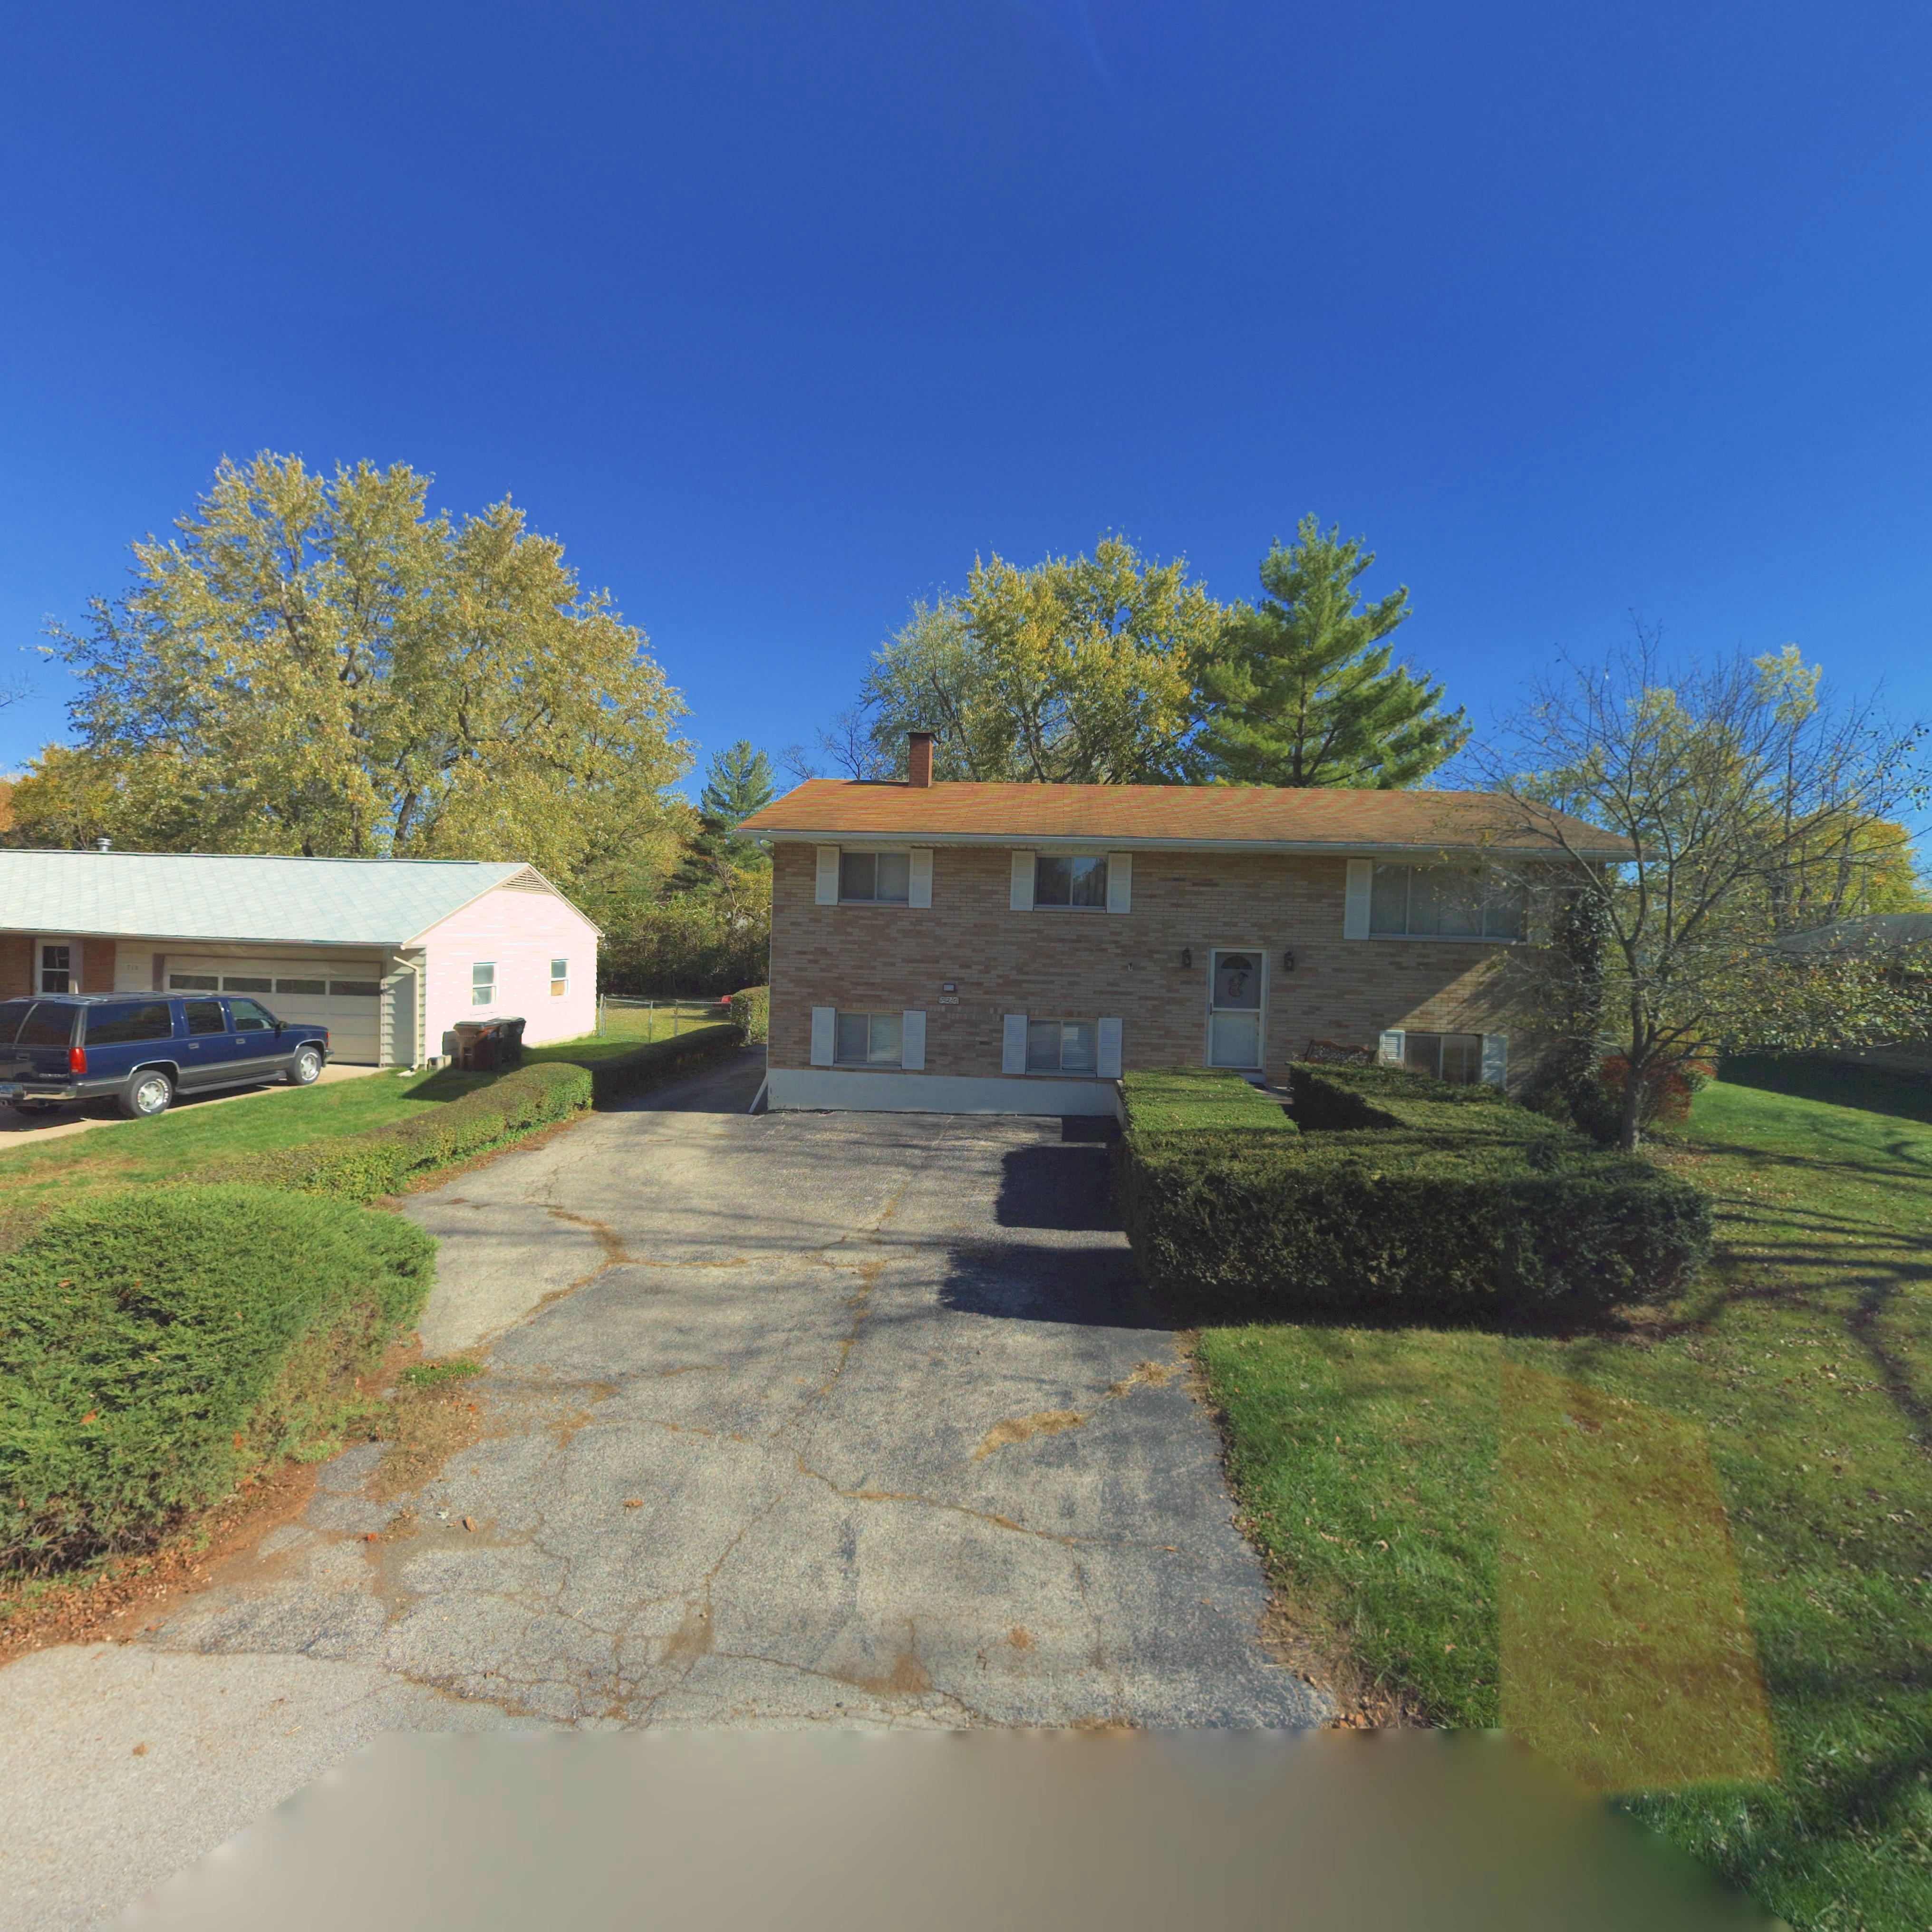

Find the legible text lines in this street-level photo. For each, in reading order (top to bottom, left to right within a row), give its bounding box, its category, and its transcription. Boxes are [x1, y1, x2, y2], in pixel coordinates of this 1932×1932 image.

[126, 964, 139, 971] StreetNumber: 718
[939, 997, 958, 1003] StreetNumber: 720